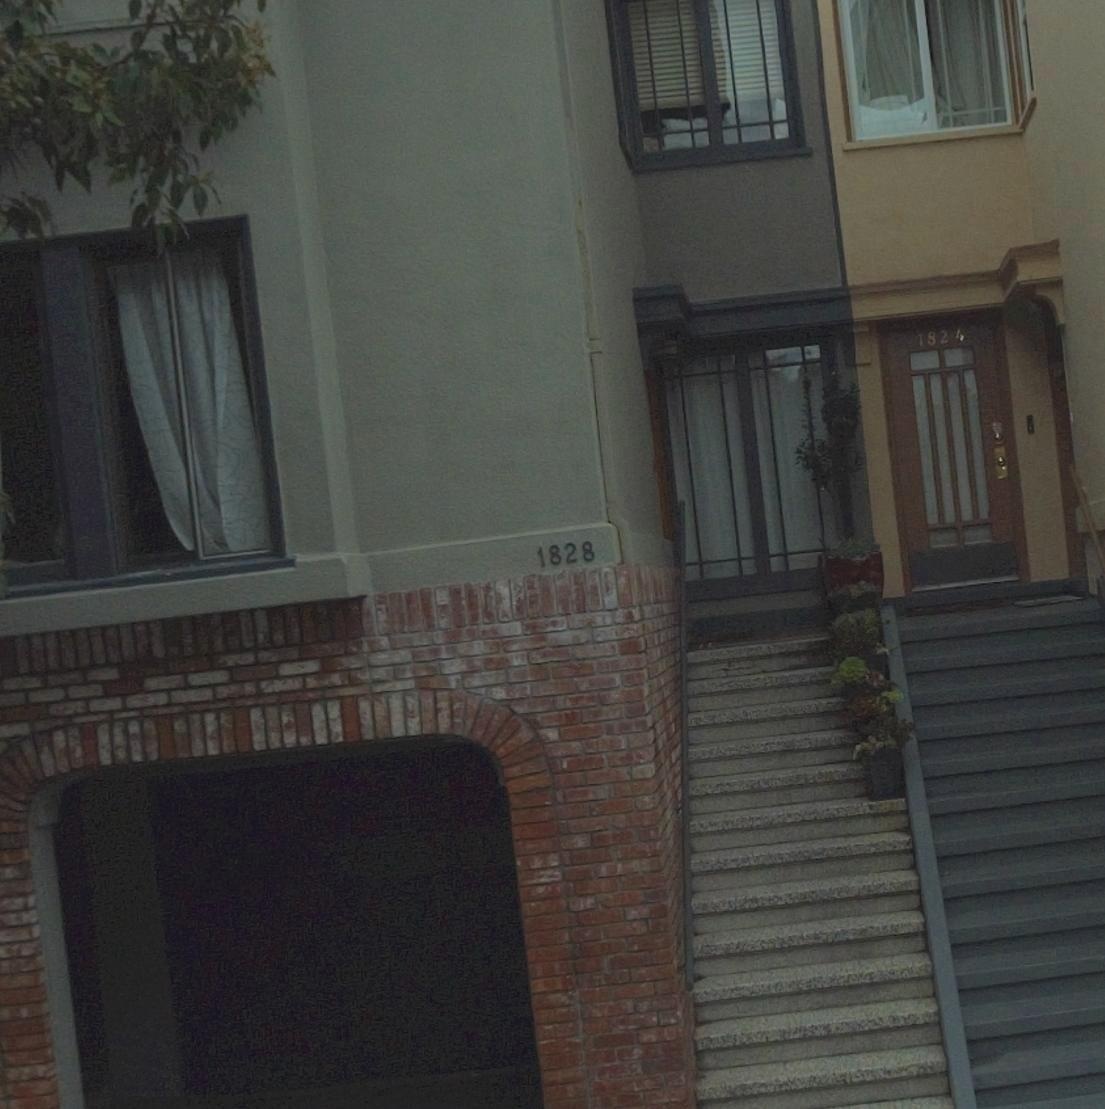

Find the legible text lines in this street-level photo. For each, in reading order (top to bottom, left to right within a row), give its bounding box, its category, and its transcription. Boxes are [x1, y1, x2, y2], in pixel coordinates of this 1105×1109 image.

[915, 325, 965, 350] StreetNumber: 1824
[533, 537, 597, 571] StreetNumber: 1828